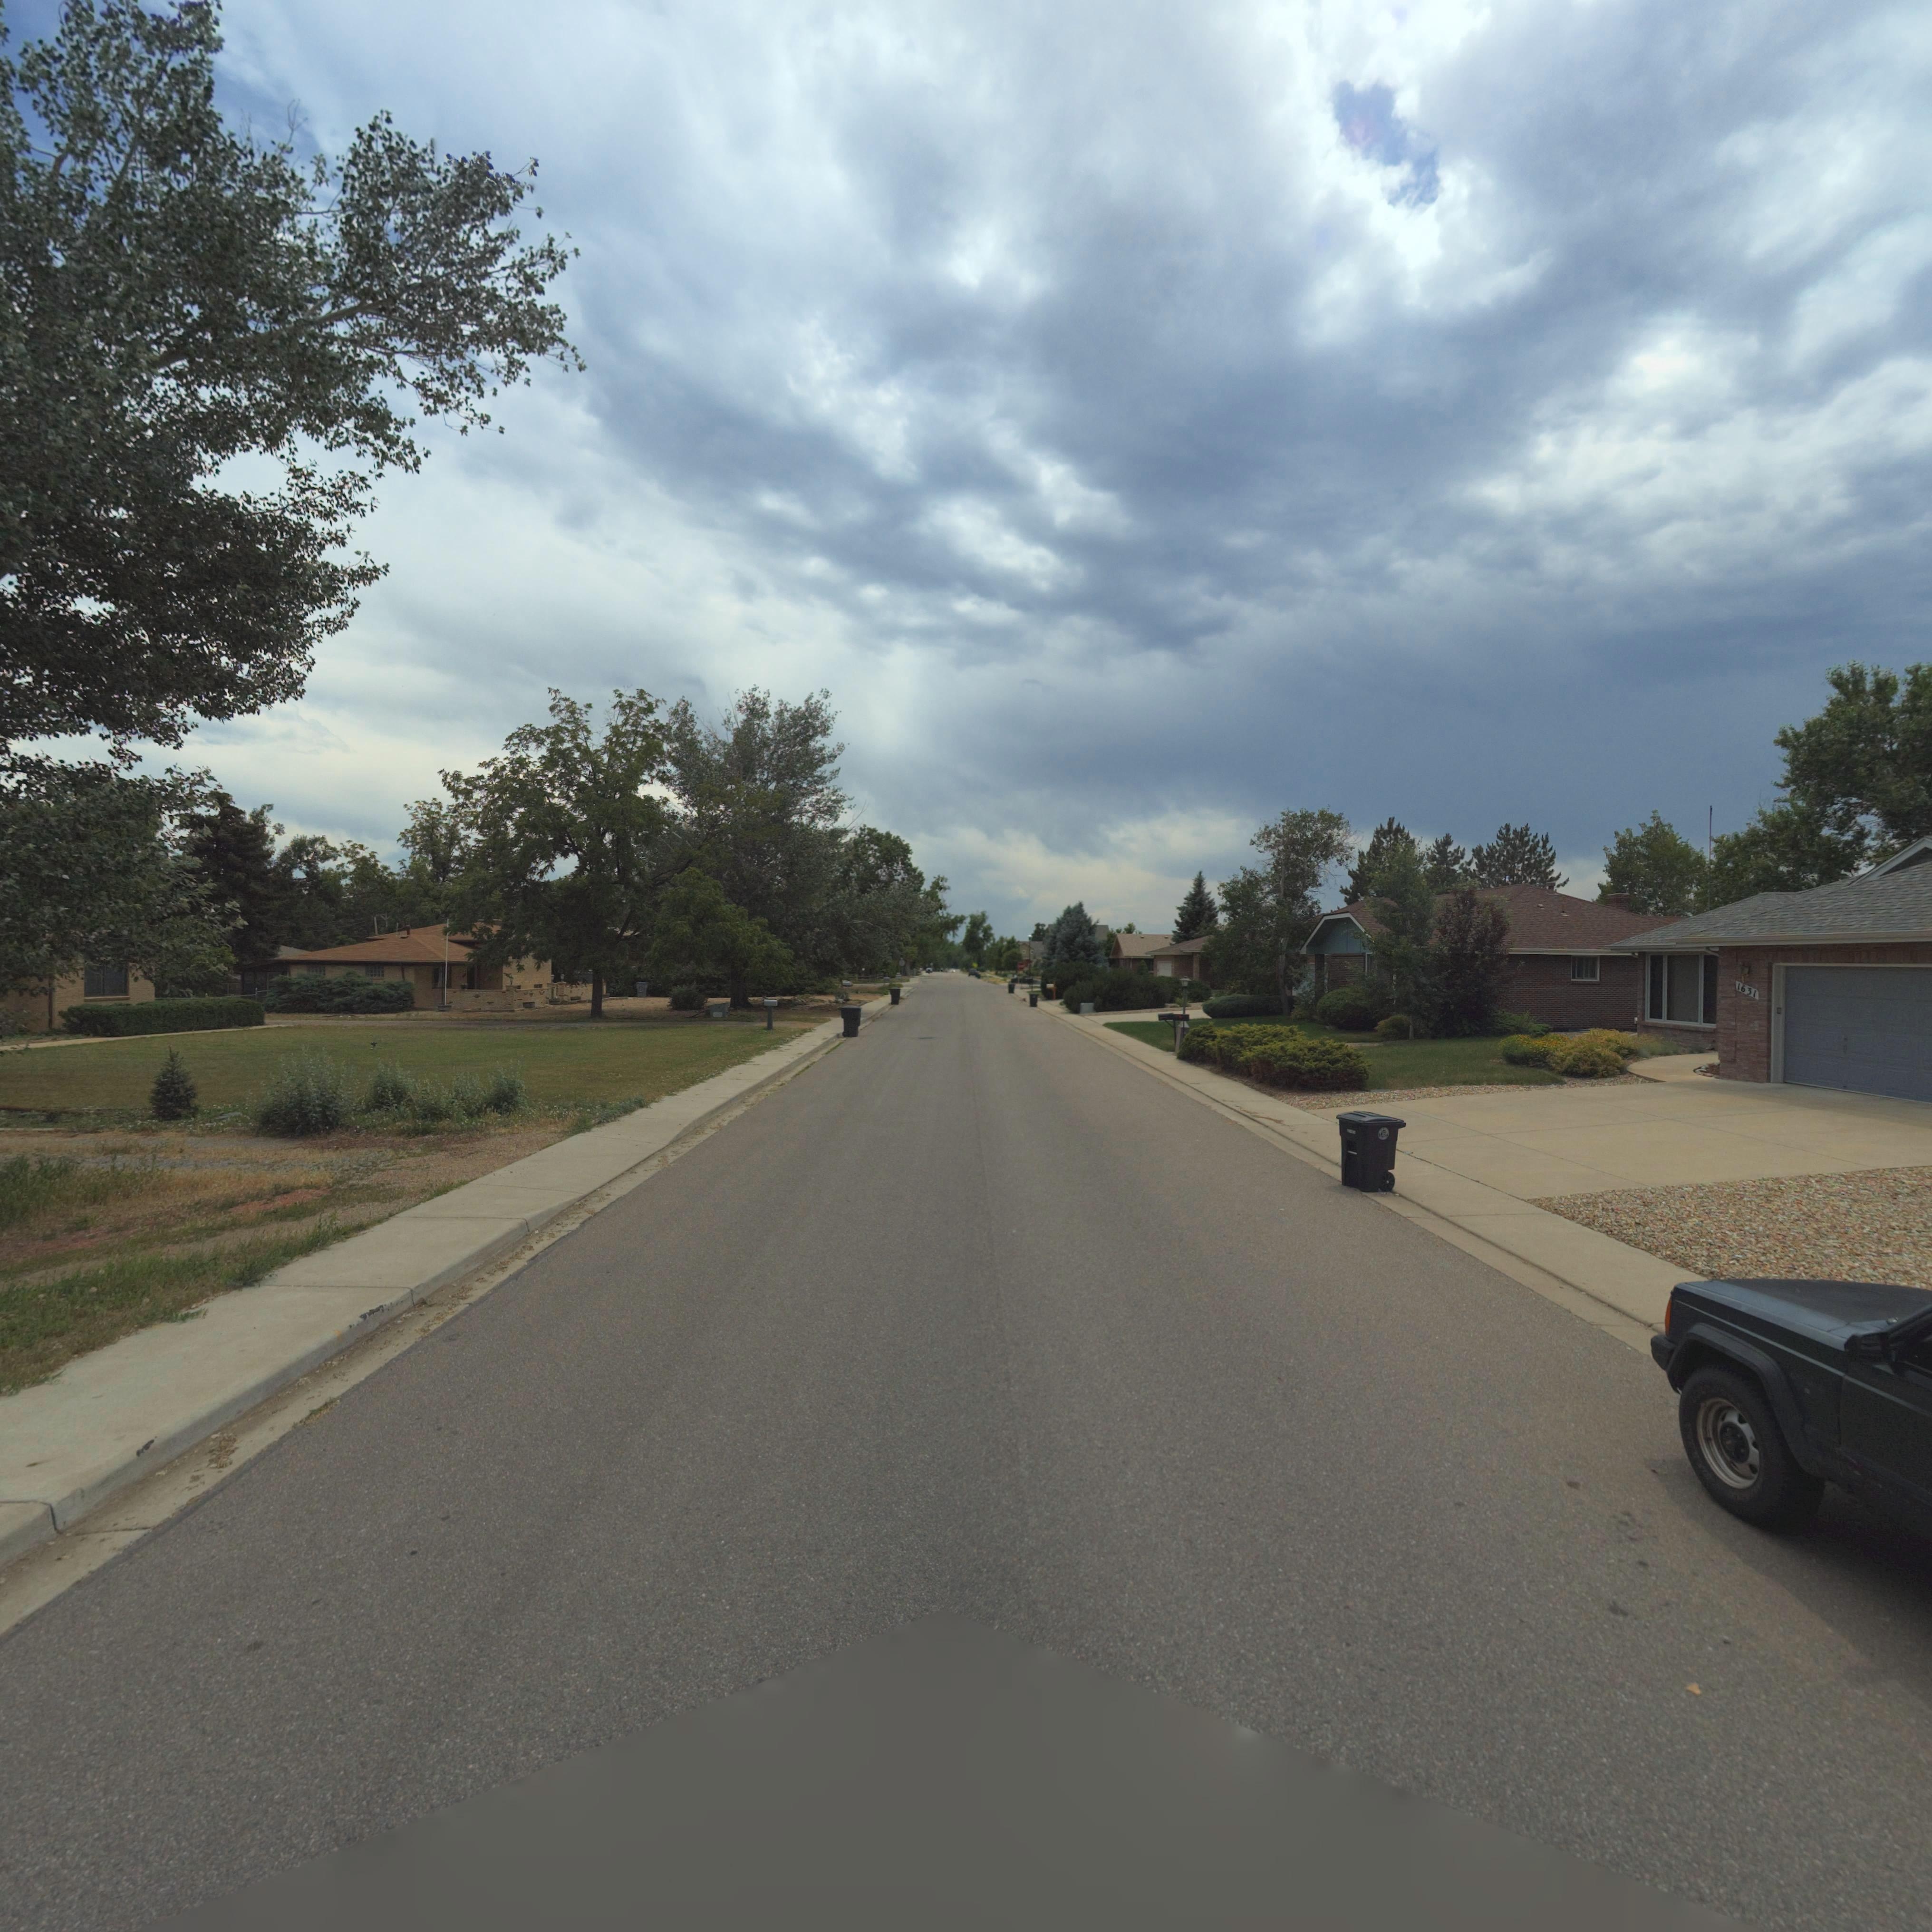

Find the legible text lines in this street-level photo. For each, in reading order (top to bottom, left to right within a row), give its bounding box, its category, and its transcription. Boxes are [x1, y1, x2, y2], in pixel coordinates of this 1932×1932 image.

[1737, 982, 1757, 998] StreetNumber: 1631